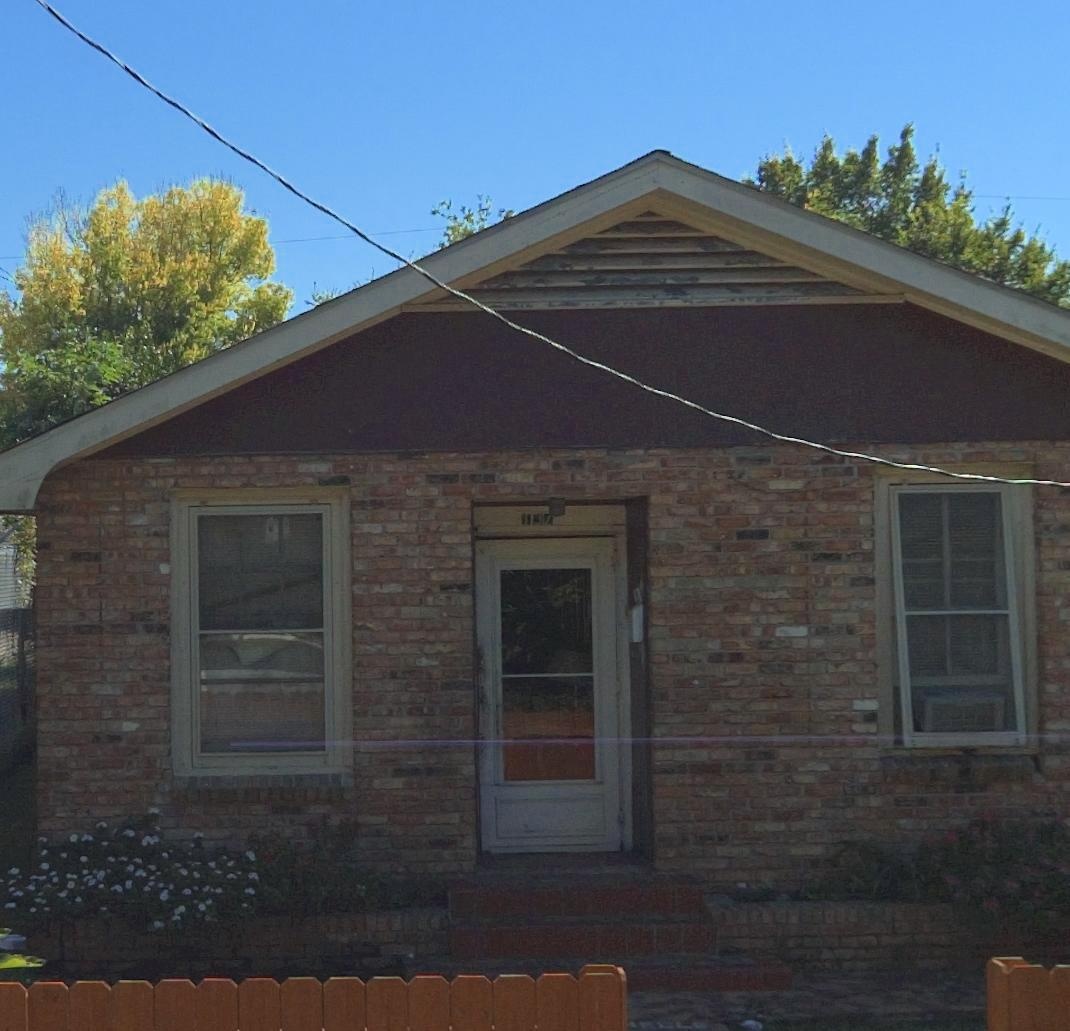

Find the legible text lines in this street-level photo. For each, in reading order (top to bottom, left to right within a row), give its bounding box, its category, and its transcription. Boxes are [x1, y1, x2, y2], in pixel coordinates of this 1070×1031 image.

[520, 511, 555, 528] StreetNumber: 1***